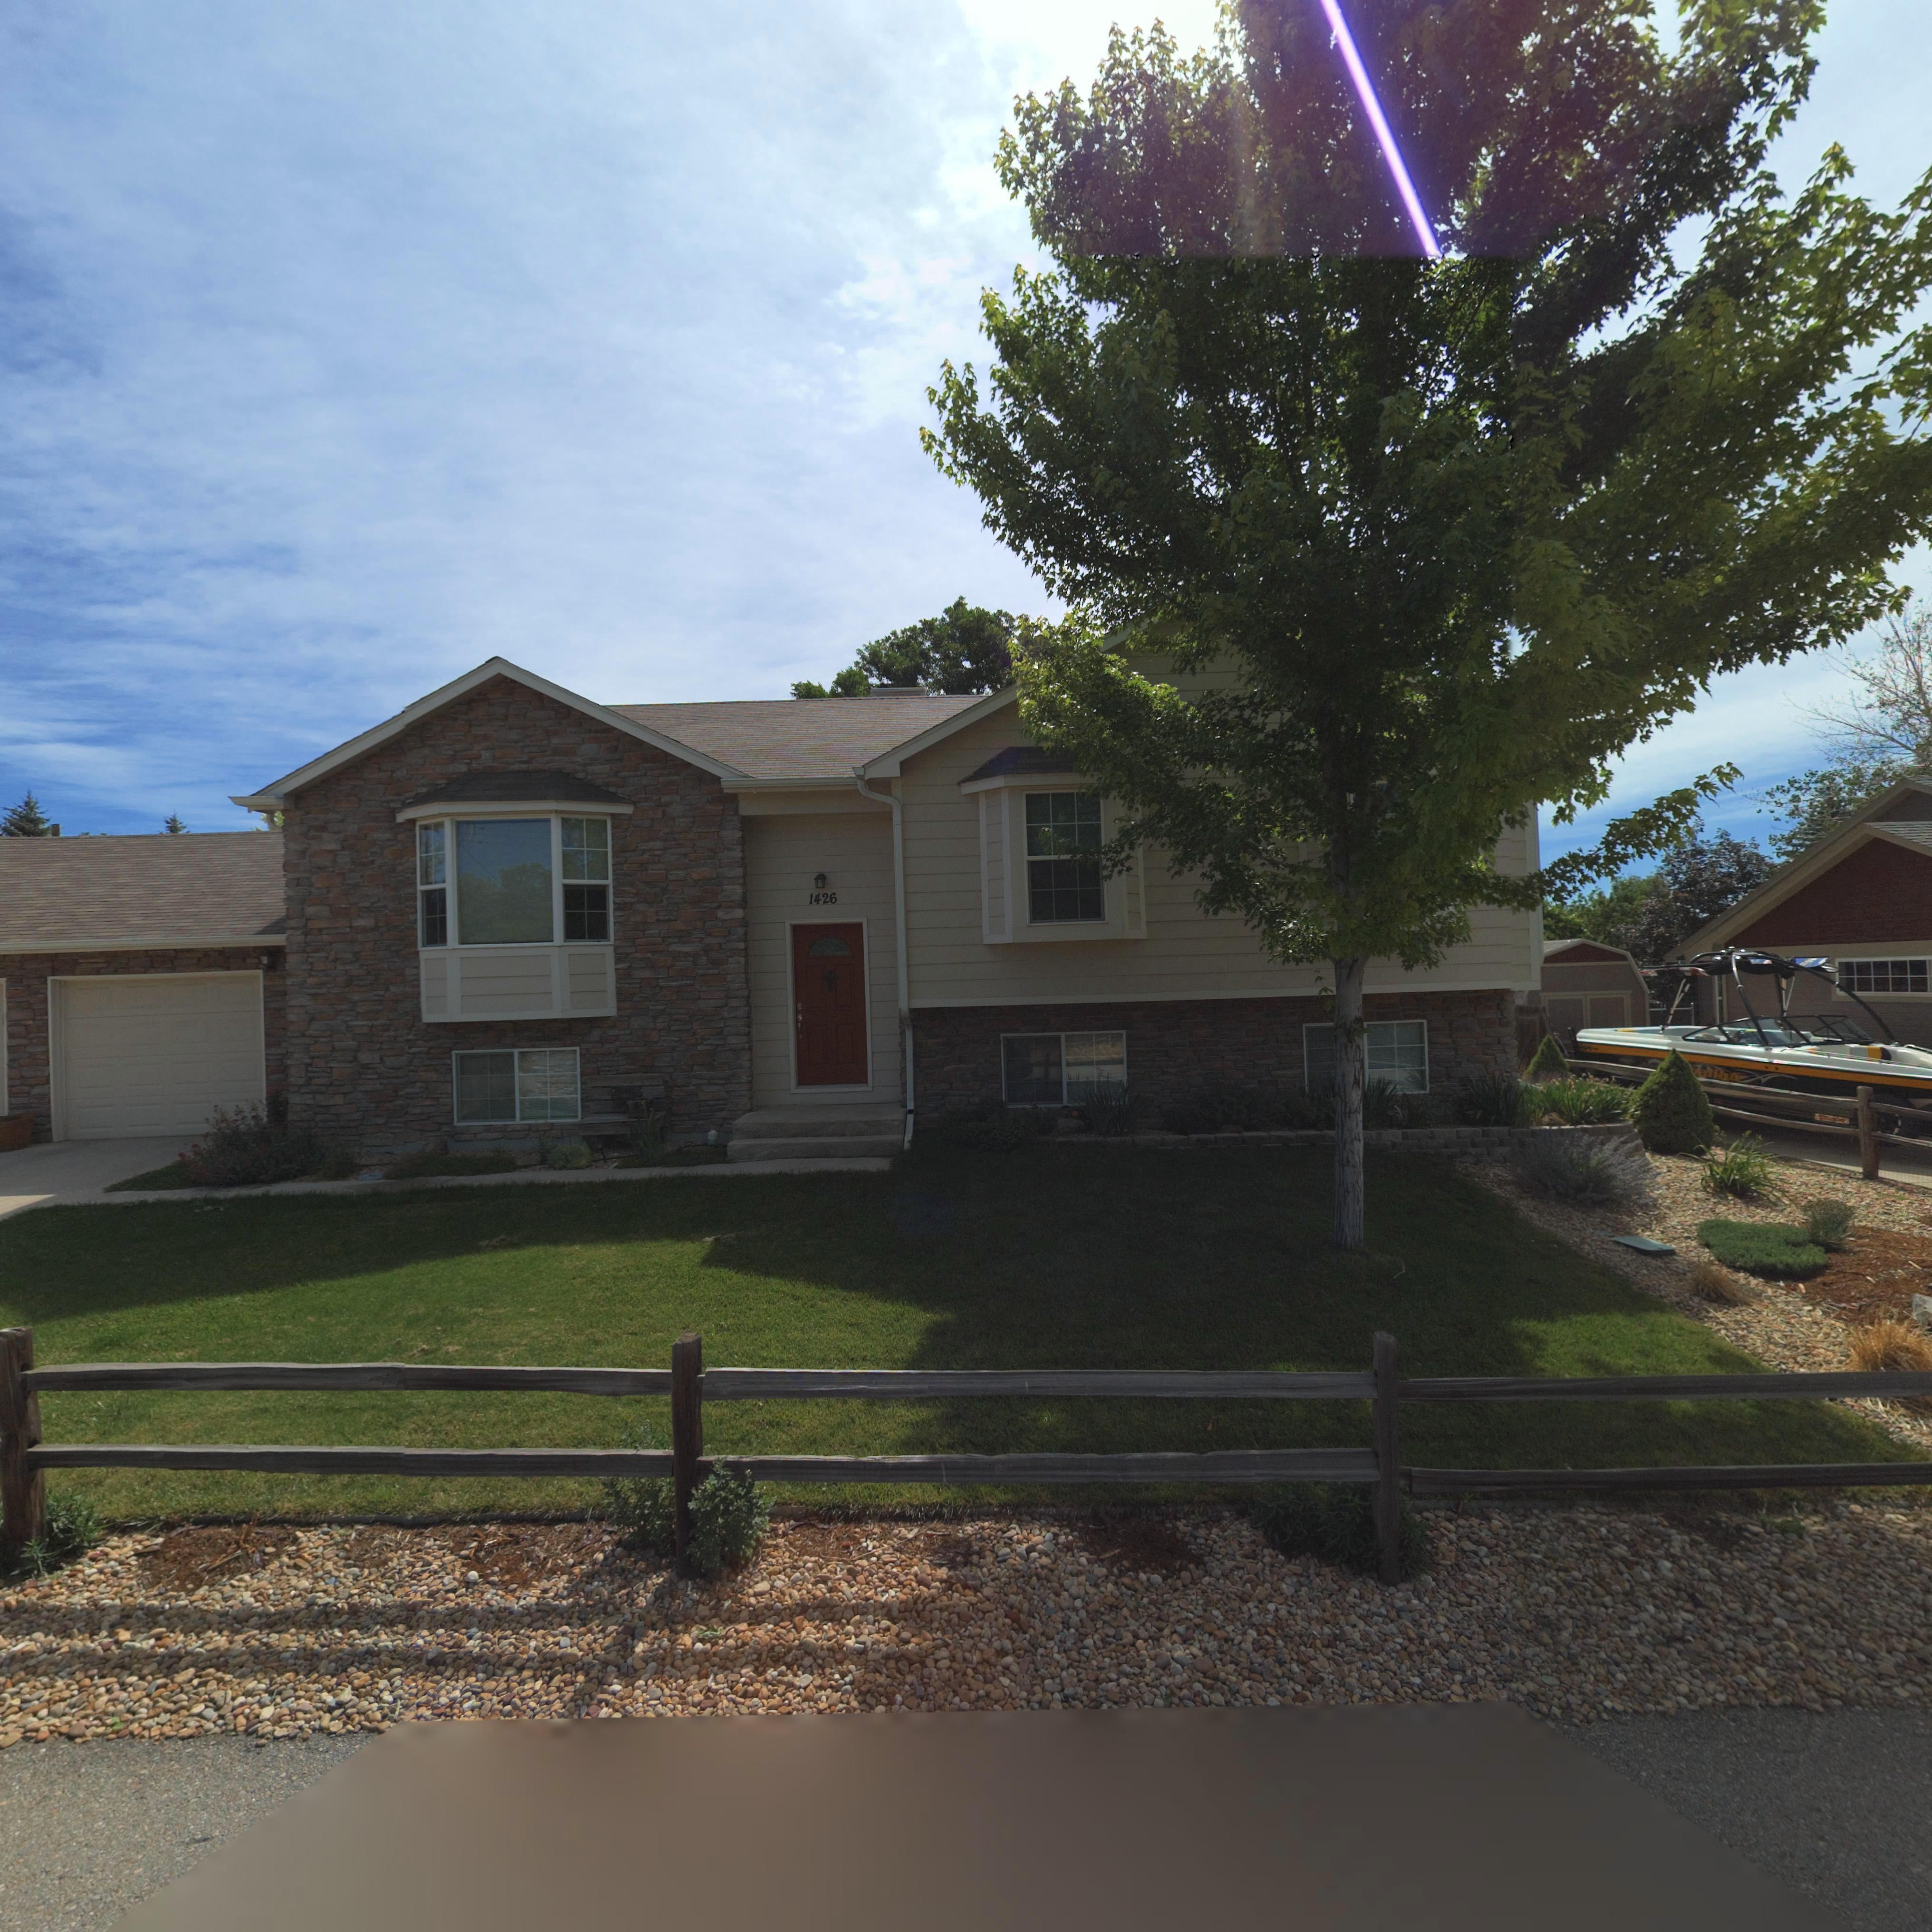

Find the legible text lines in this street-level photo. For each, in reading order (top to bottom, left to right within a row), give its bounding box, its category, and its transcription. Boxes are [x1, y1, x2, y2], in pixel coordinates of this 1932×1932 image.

[809, 892, 837, 905] StreetNumber: 1426